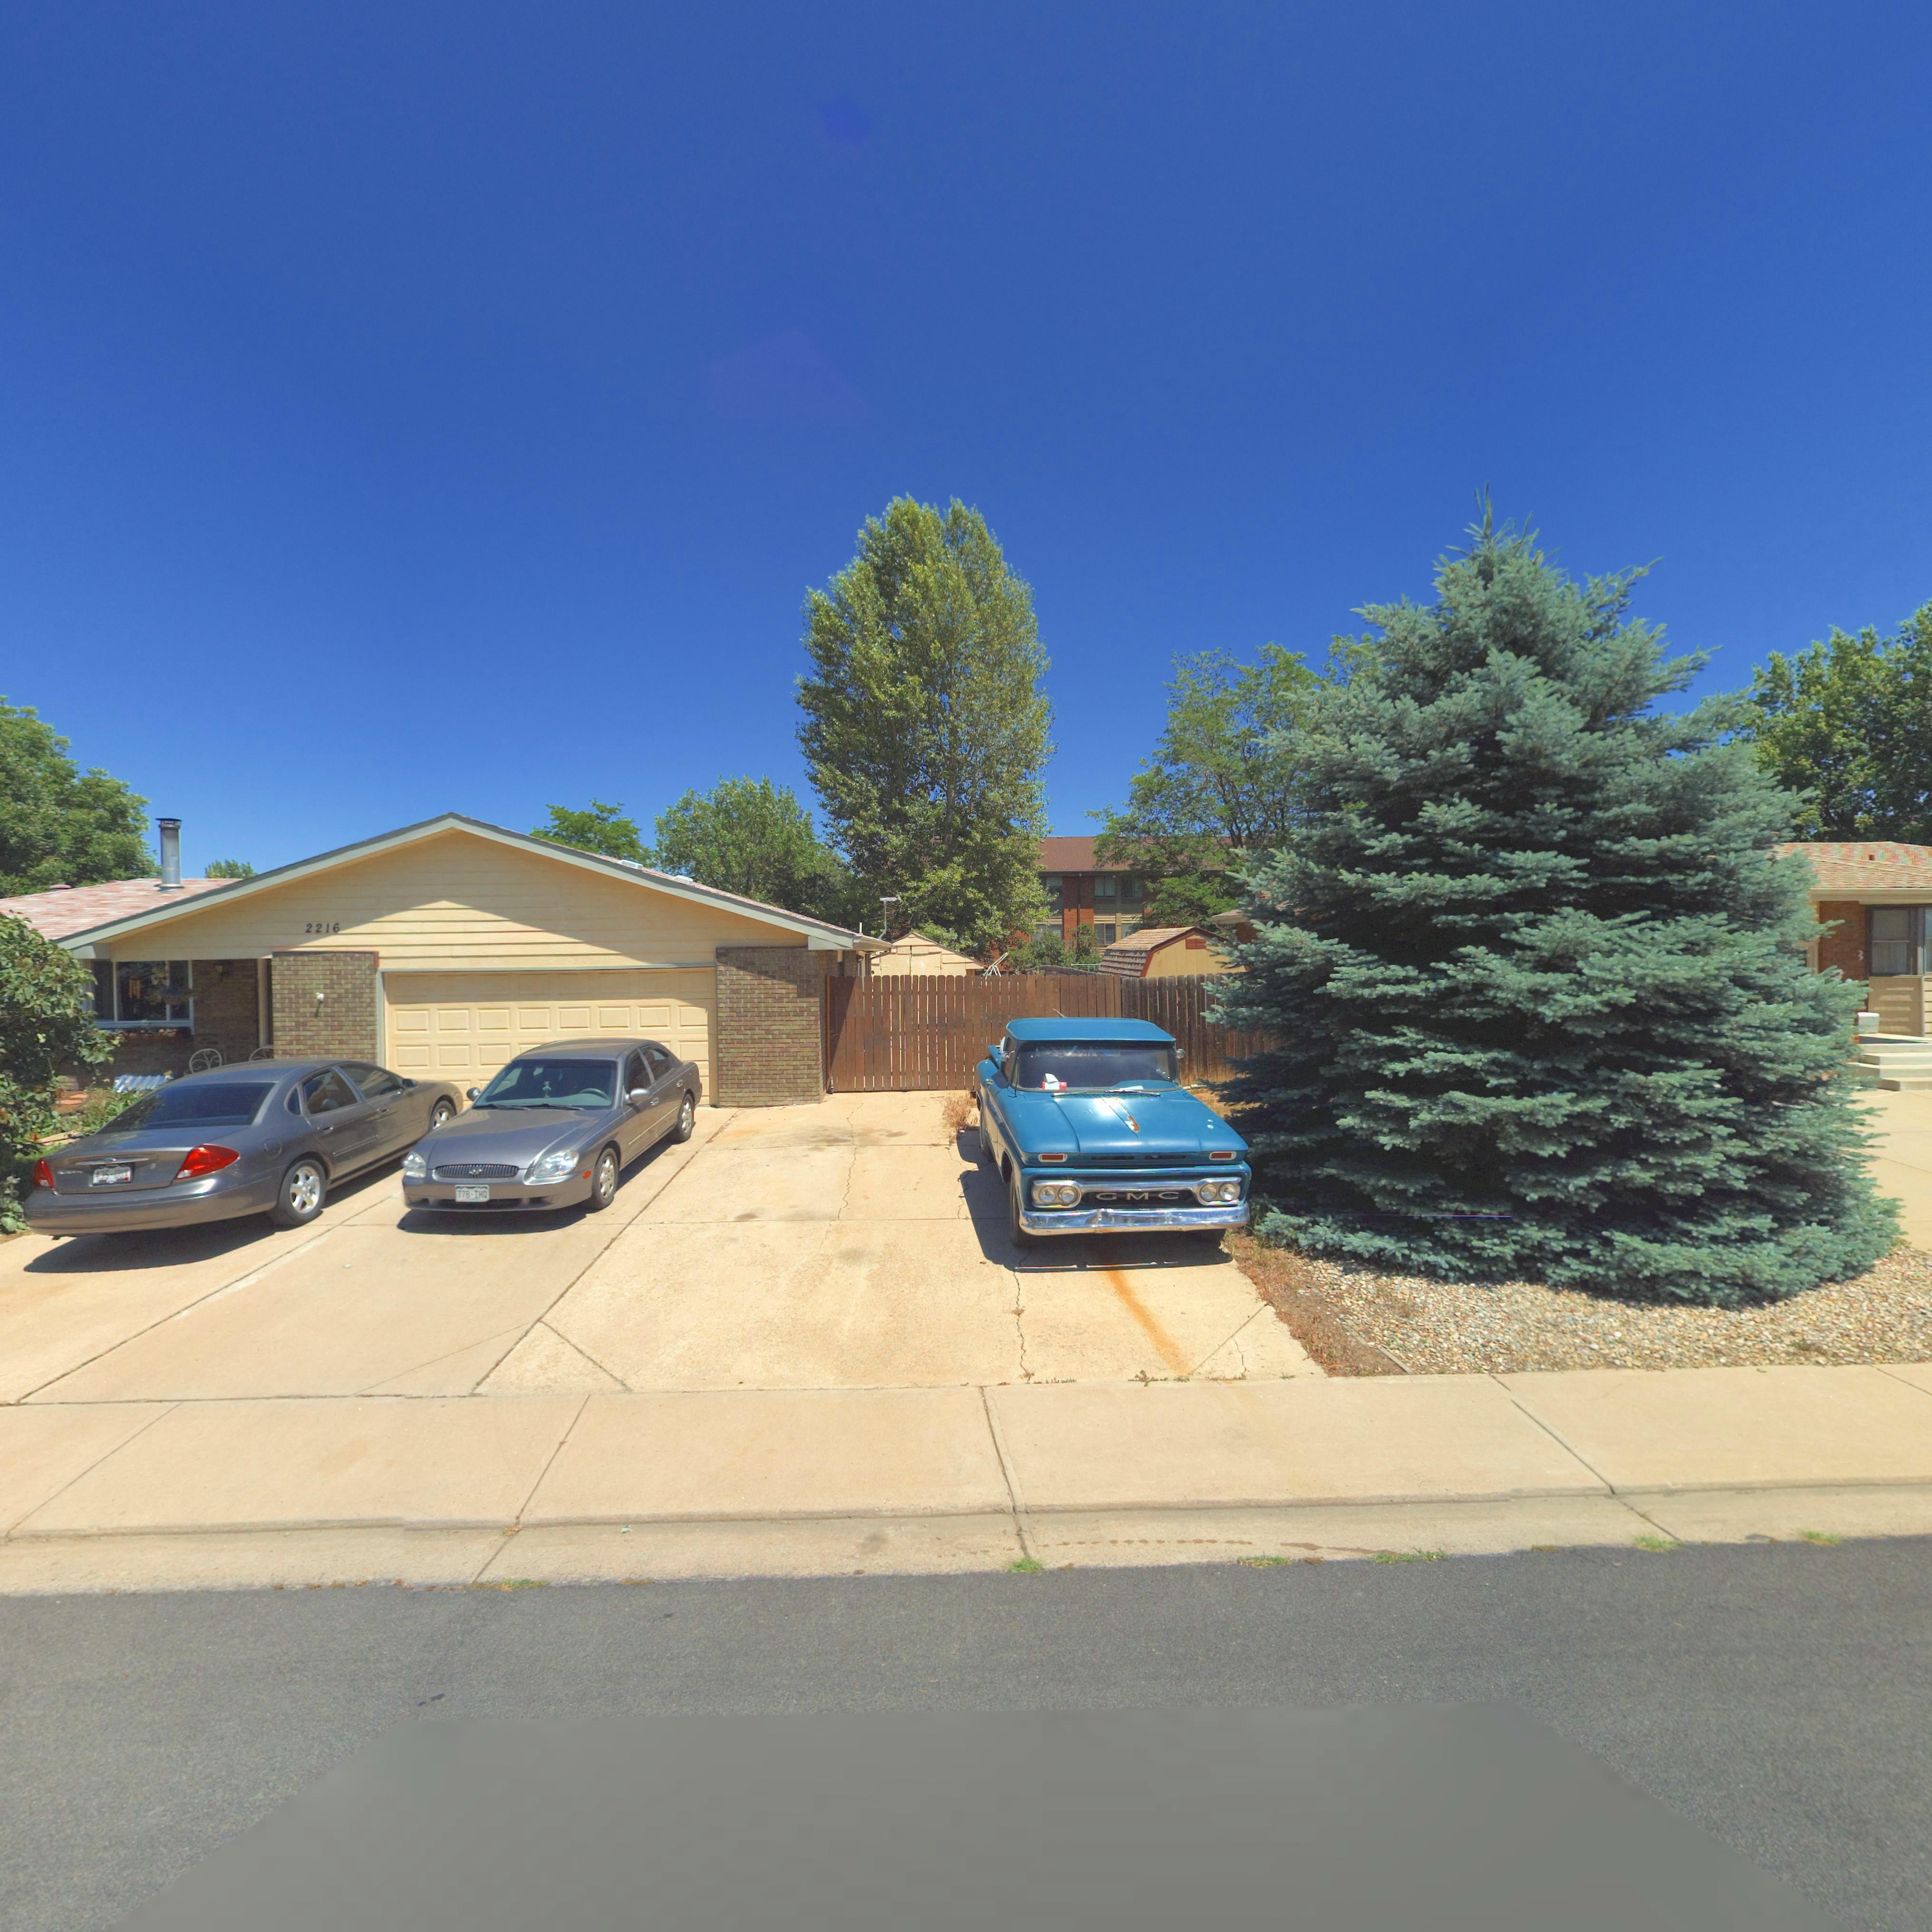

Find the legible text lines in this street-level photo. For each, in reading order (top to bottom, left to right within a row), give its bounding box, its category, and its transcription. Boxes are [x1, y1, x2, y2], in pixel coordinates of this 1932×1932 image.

[305, 923, 340, 933] StreetNumber: 2216